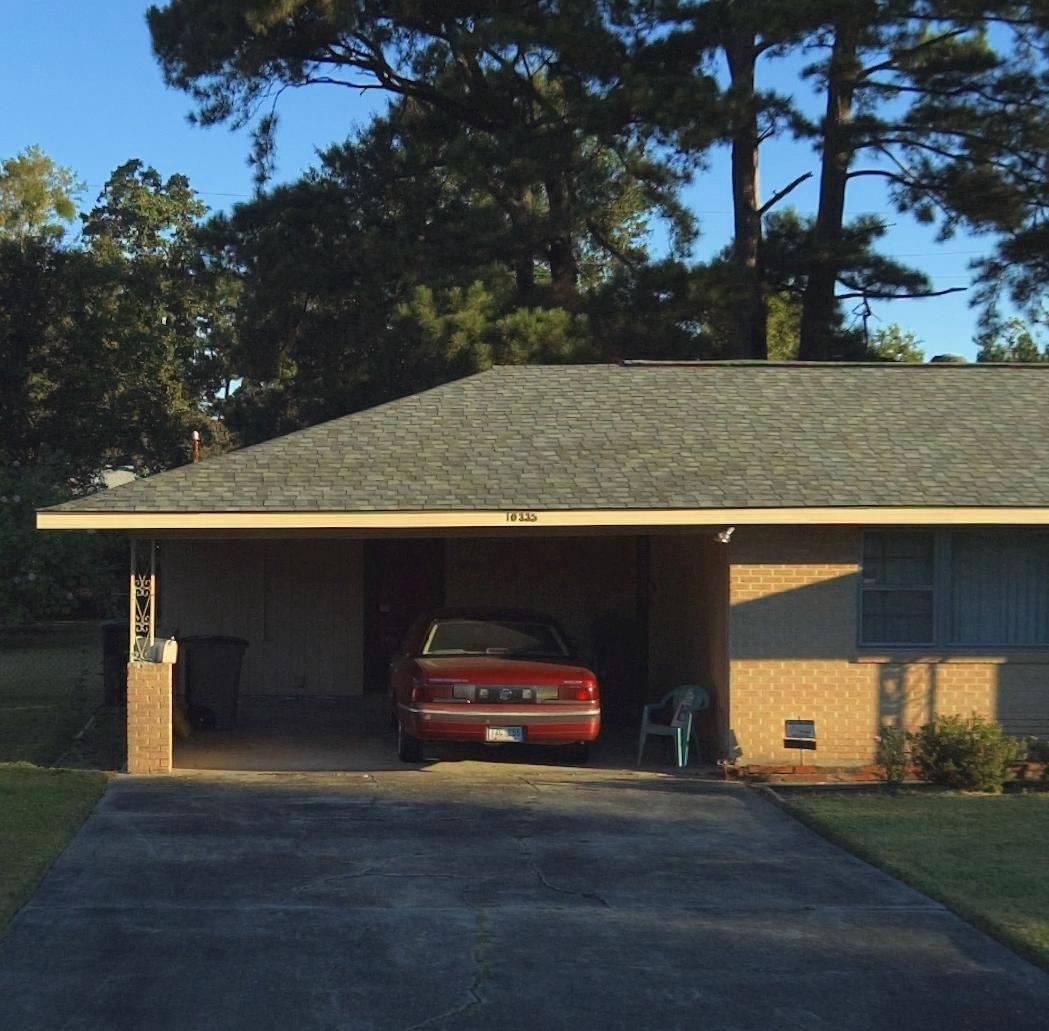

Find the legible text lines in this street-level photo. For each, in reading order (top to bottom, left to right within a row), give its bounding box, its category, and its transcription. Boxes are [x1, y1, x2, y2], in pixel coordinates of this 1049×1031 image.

[504, 510, 540, 524] StreetNumber: 10335
[510, 726, 522, 738] None: 55